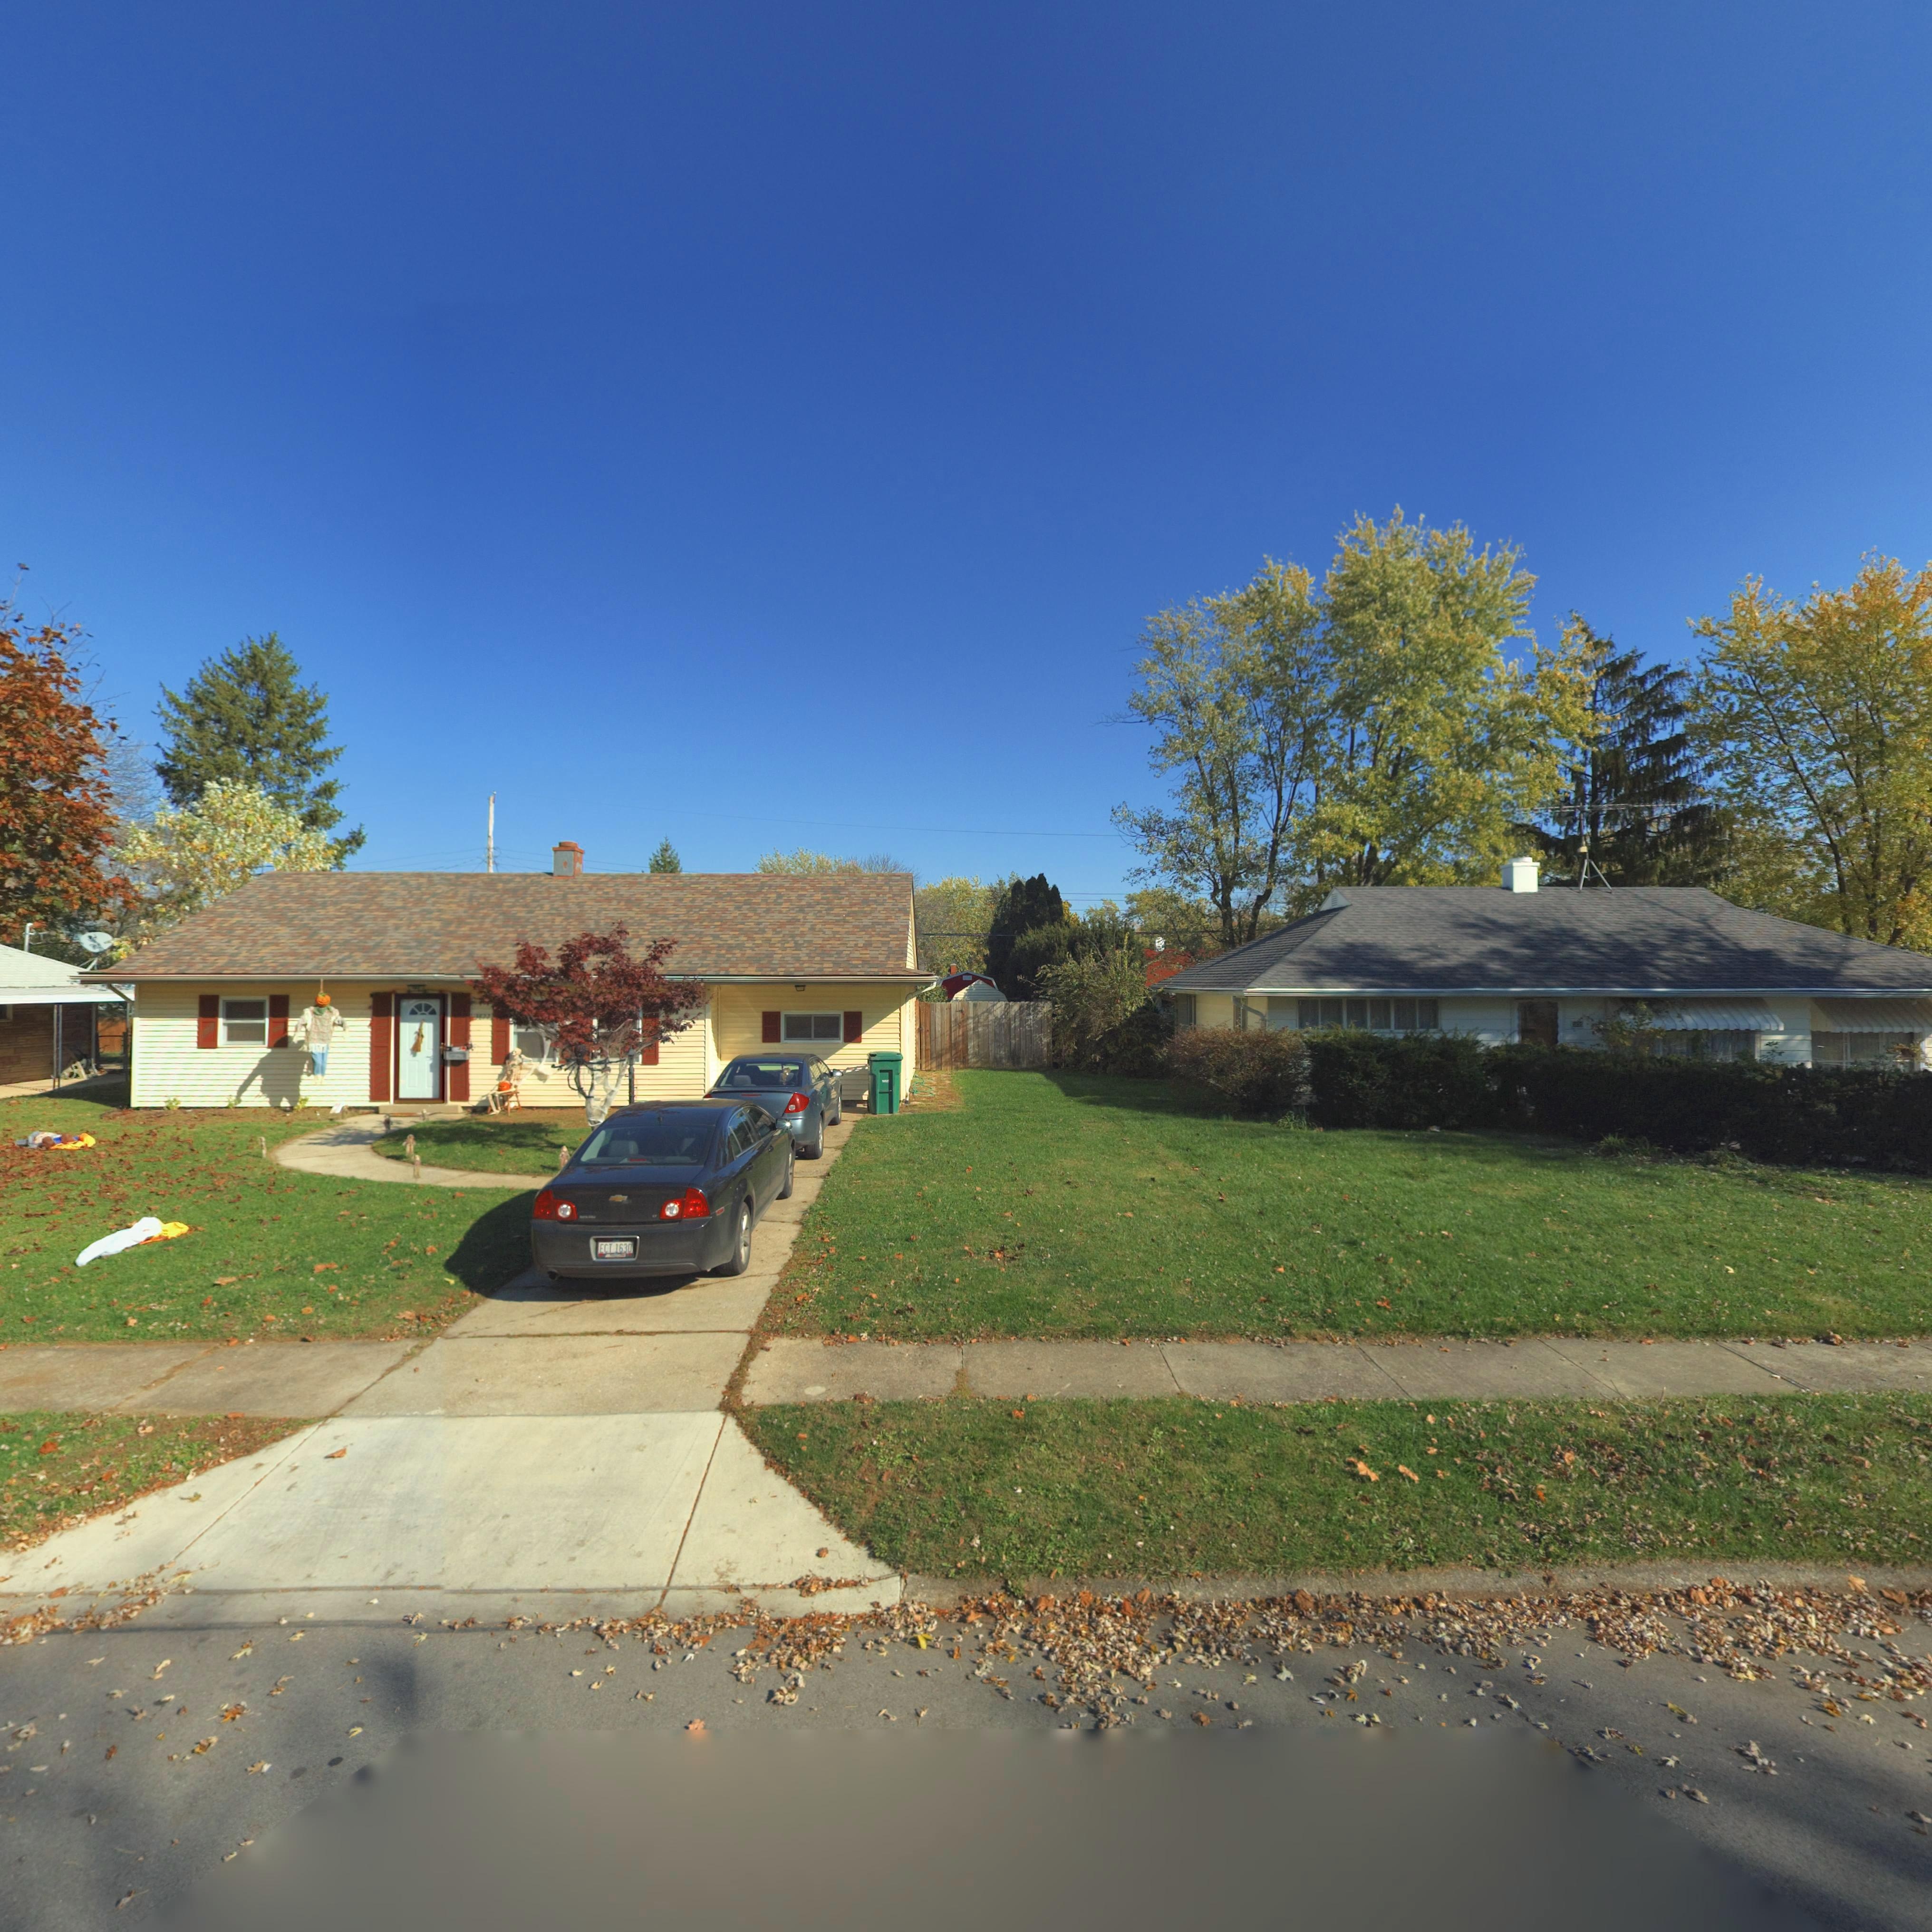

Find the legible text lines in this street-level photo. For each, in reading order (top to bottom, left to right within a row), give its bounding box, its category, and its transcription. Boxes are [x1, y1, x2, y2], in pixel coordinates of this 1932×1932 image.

[474, 1013, 490, 1020] StreetNumber: 3822
[599, 1242, 632, 1253] None: ECT 1630